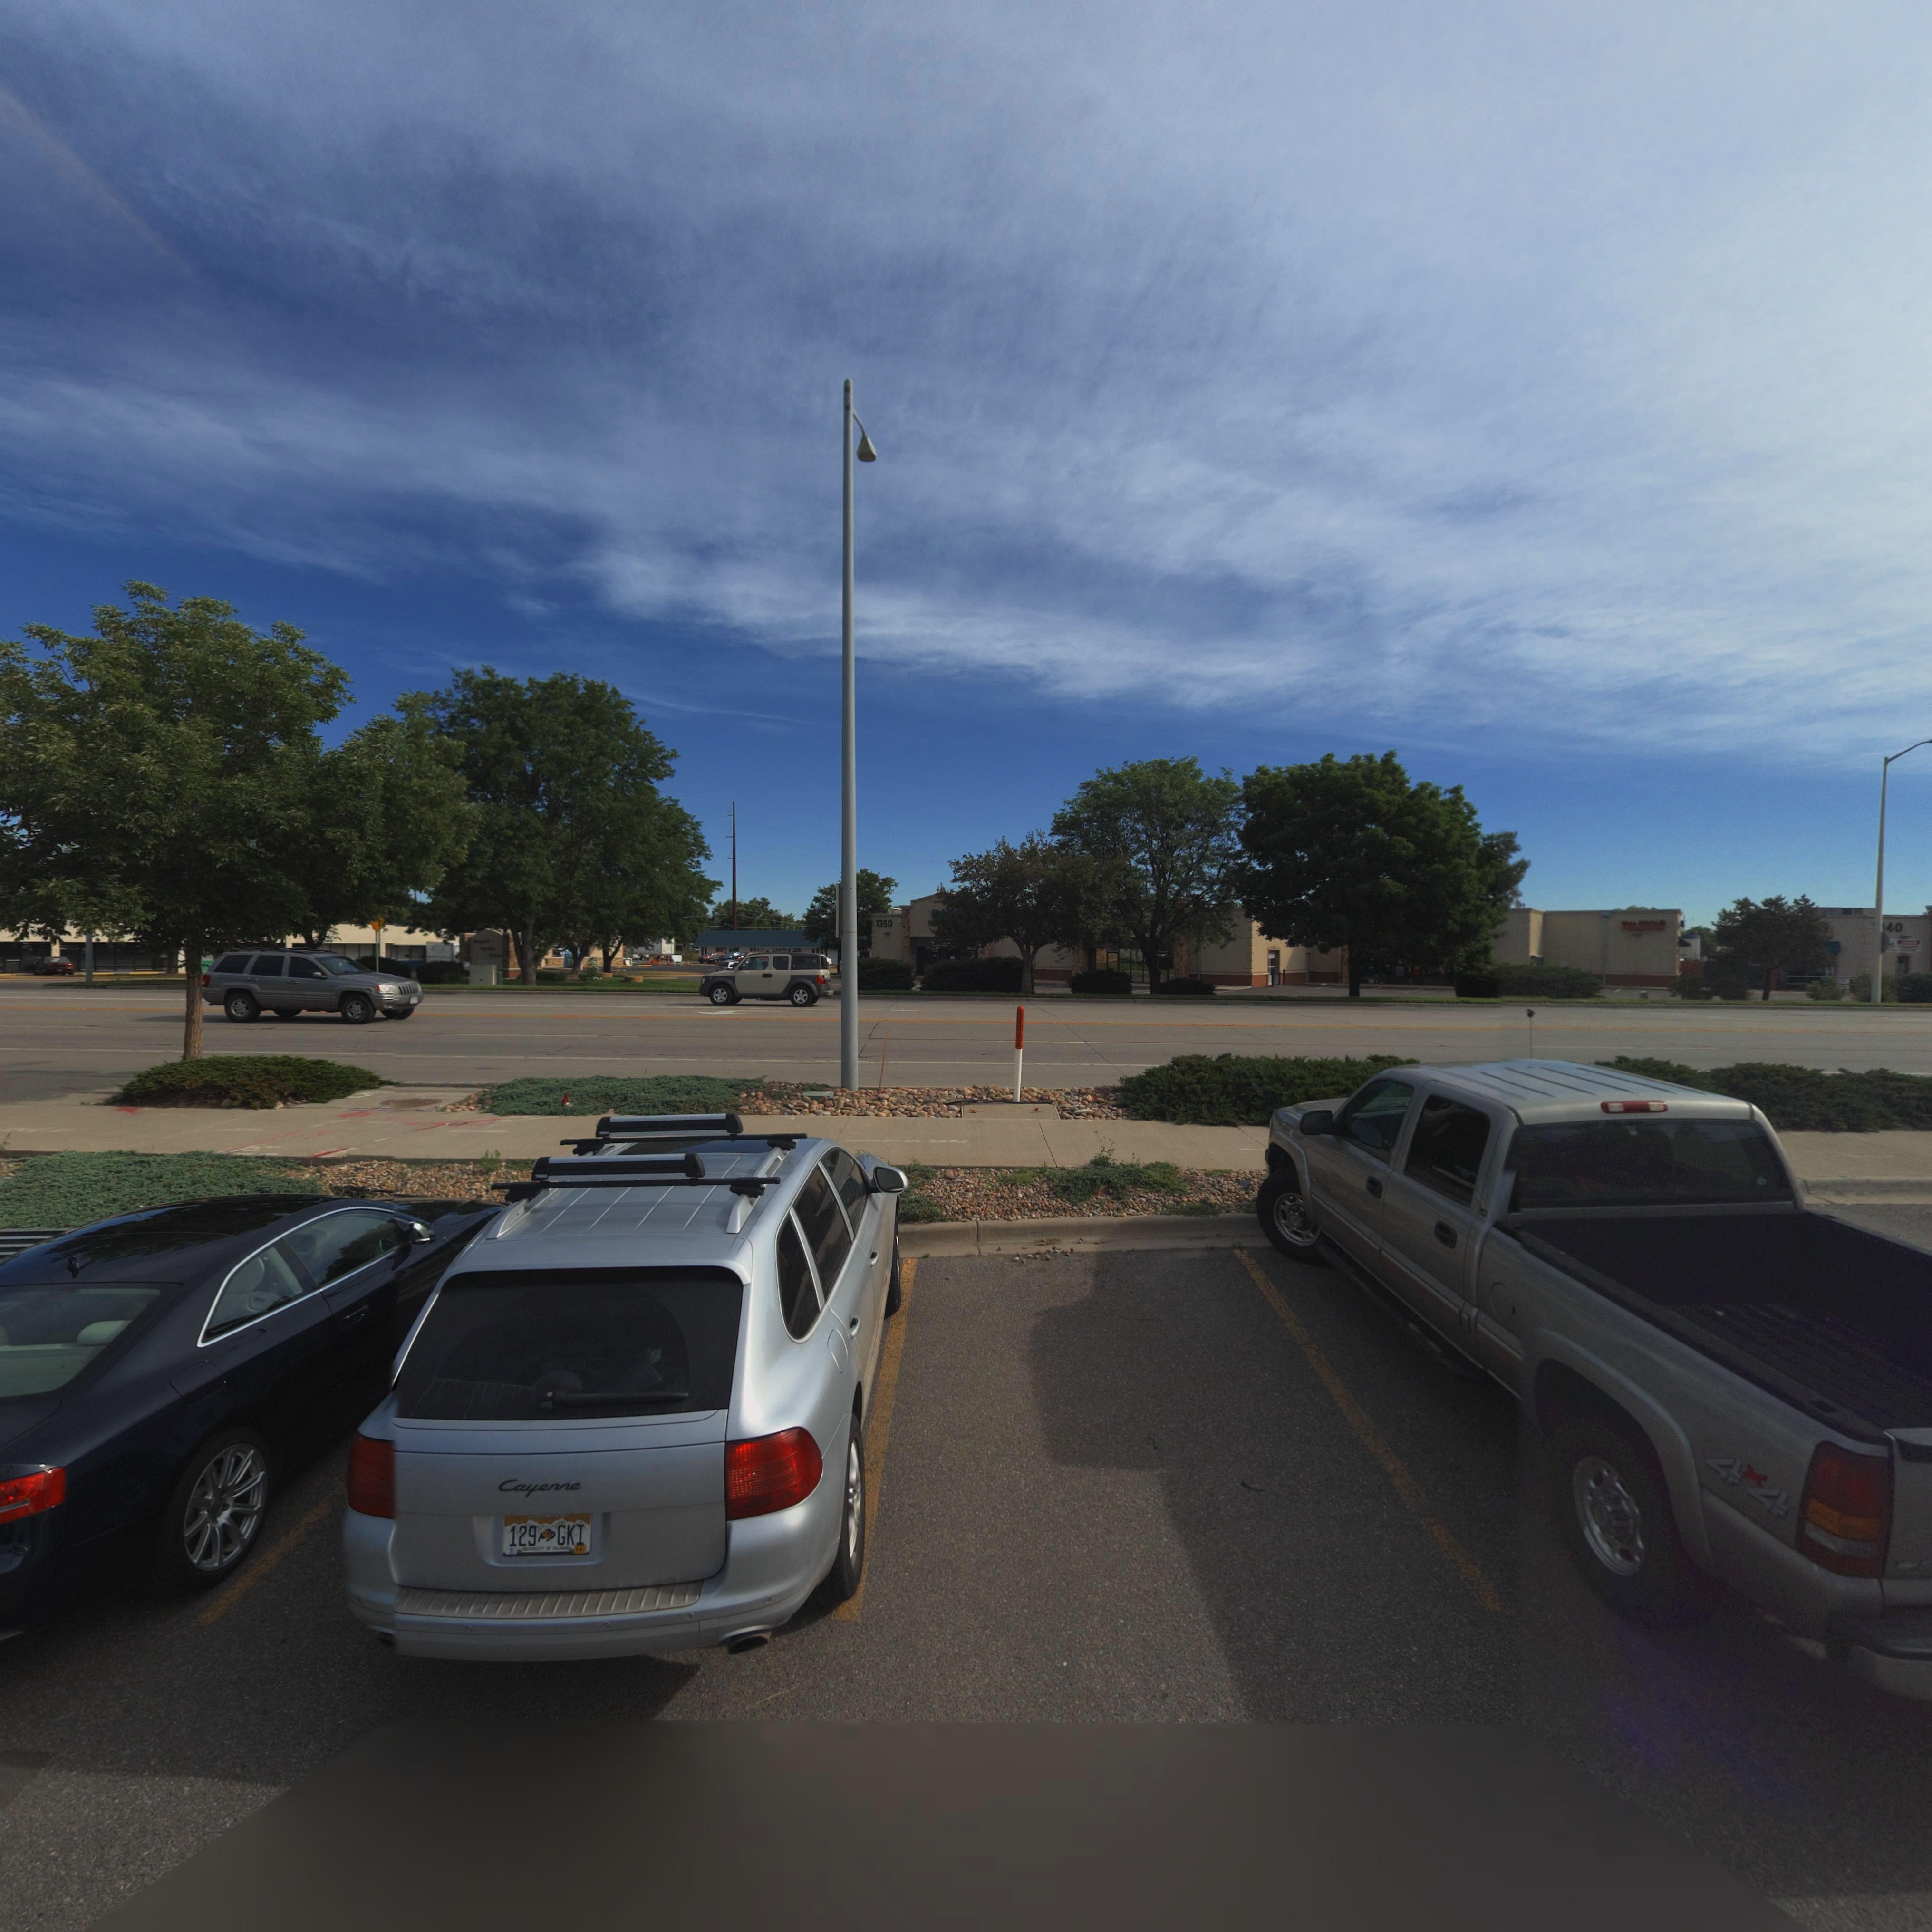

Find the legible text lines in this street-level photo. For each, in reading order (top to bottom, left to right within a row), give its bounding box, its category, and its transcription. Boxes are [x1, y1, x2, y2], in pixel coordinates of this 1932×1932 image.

[876, 919, 893, 927] StreetNumber: 1350
[1873, 922, 1903, 932] StreetNumber: **40